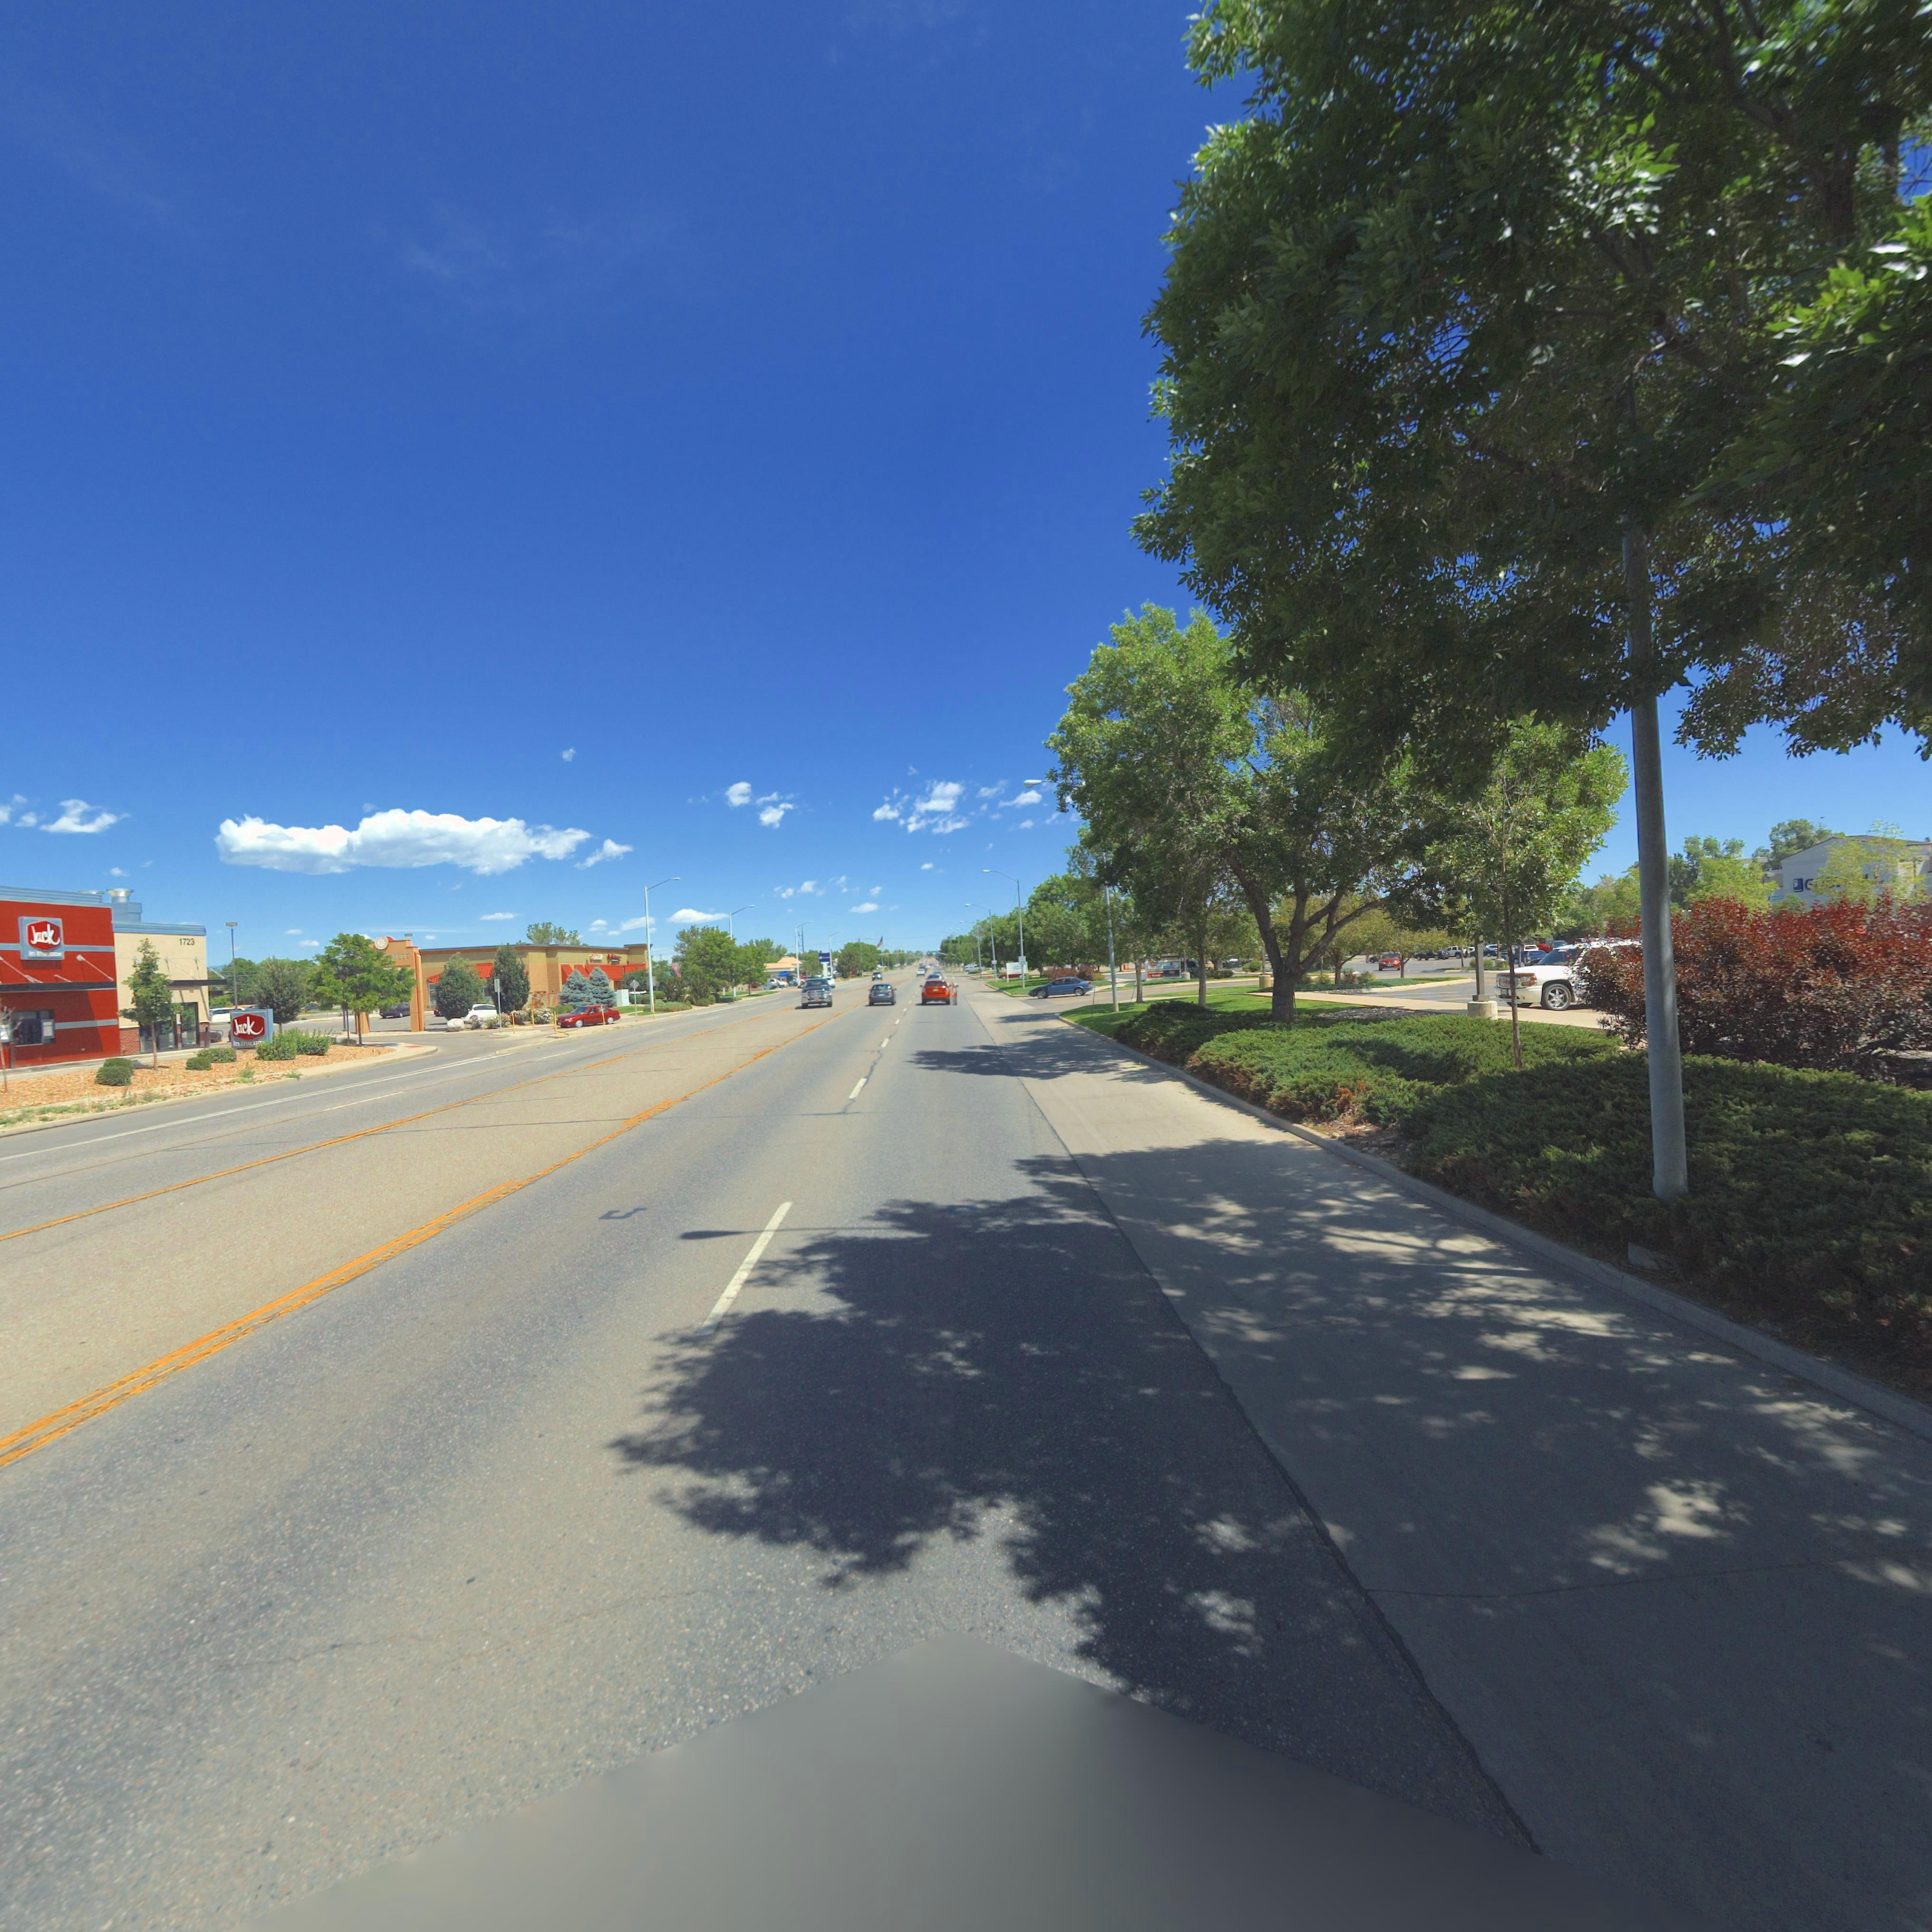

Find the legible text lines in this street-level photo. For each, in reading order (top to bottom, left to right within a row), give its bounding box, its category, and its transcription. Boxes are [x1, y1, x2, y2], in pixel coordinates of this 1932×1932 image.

[29, 923, 61, 945] BusinessName: Jack
[179, 937, 194, 946] StreetNumber: 1723
[28, 950, 63, 956] BusinessName: i* **e *o*
[517, 951, 525, 955] StreetName: **N
[233, 1015, 263, 1035] BusinessName: Jack
[233, 1039, 264, 1046] BusinessName: in **e ***